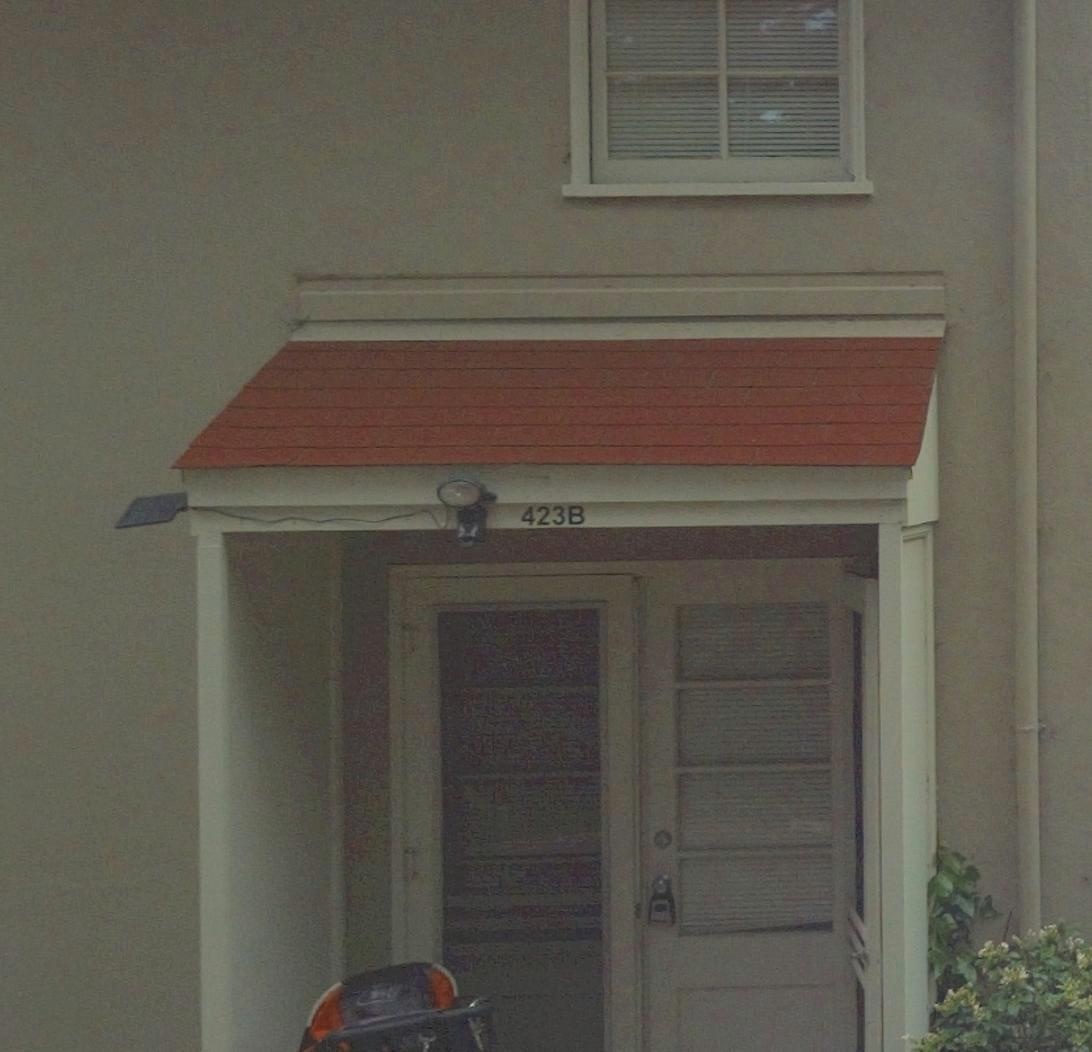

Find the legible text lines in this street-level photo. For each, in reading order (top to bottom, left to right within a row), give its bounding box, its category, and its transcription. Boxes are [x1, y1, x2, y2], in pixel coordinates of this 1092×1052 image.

[521, 505, 587, 526] StreetNumber: 423B